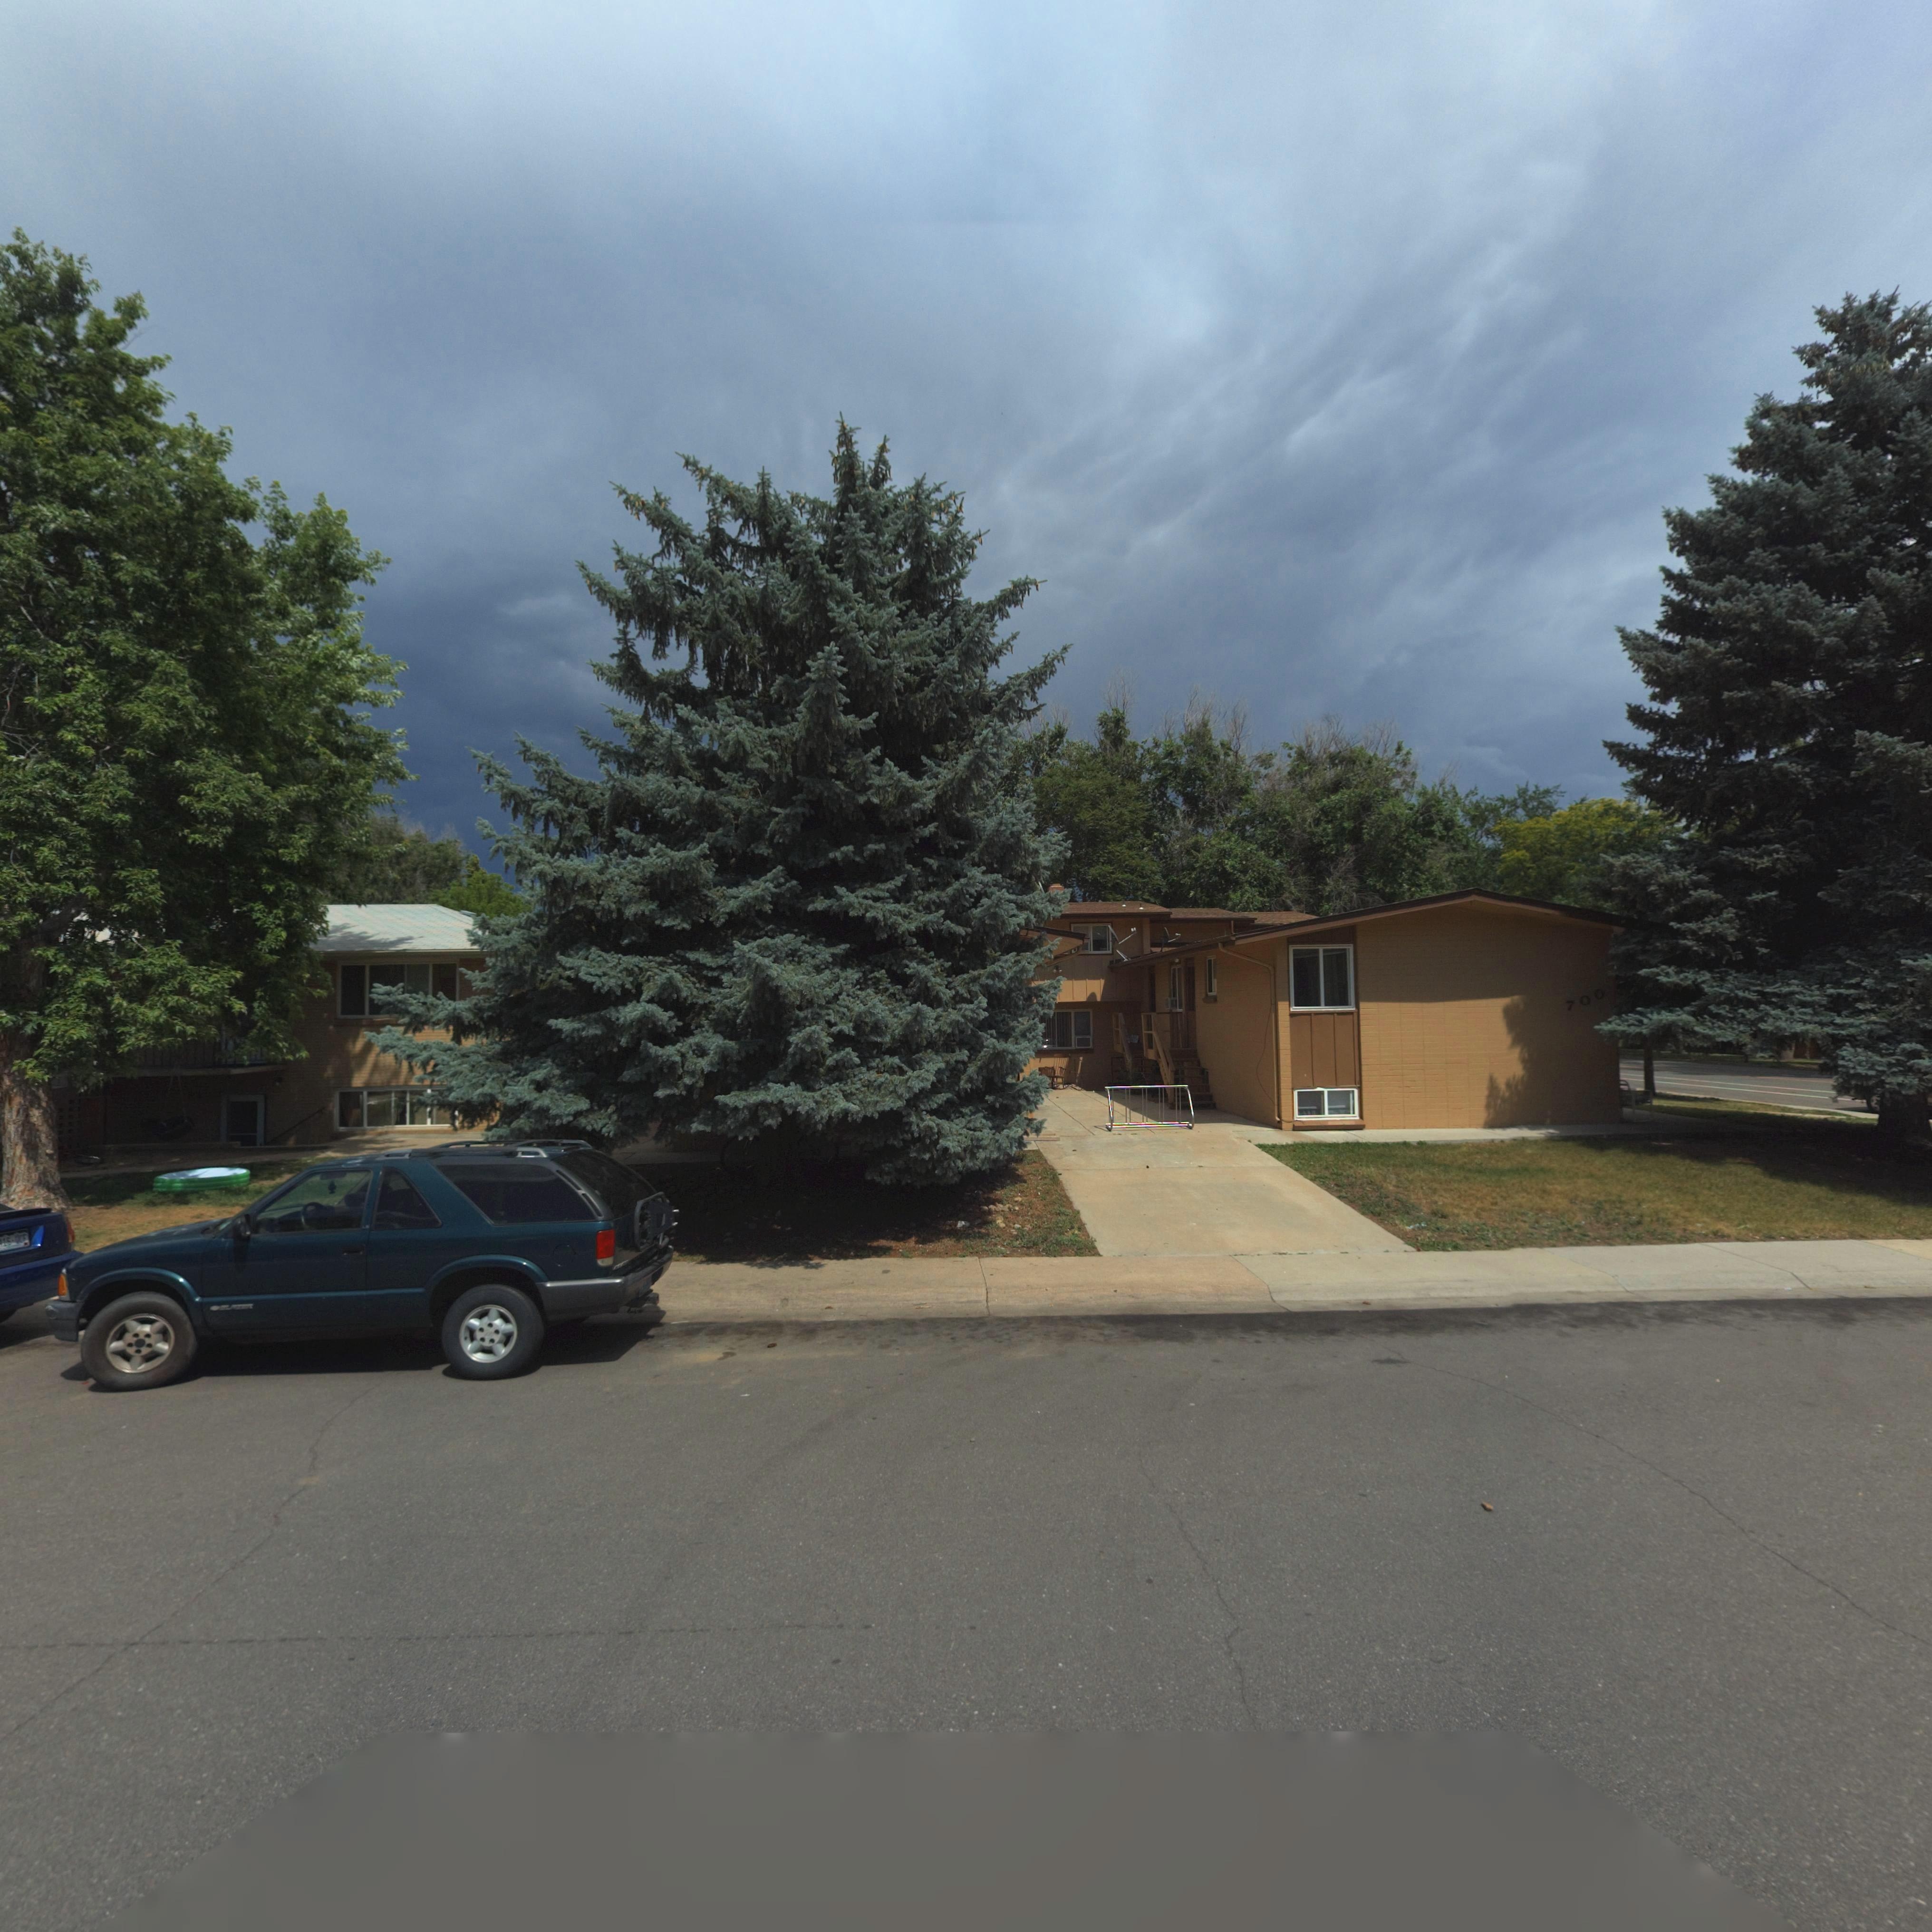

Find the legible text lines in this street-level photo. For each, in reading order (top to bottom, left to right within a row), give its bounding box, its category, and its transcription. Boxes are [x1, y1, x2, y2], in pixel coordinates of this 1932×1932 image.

[1565, 987, 1606, 1012] StreetNumber: 700